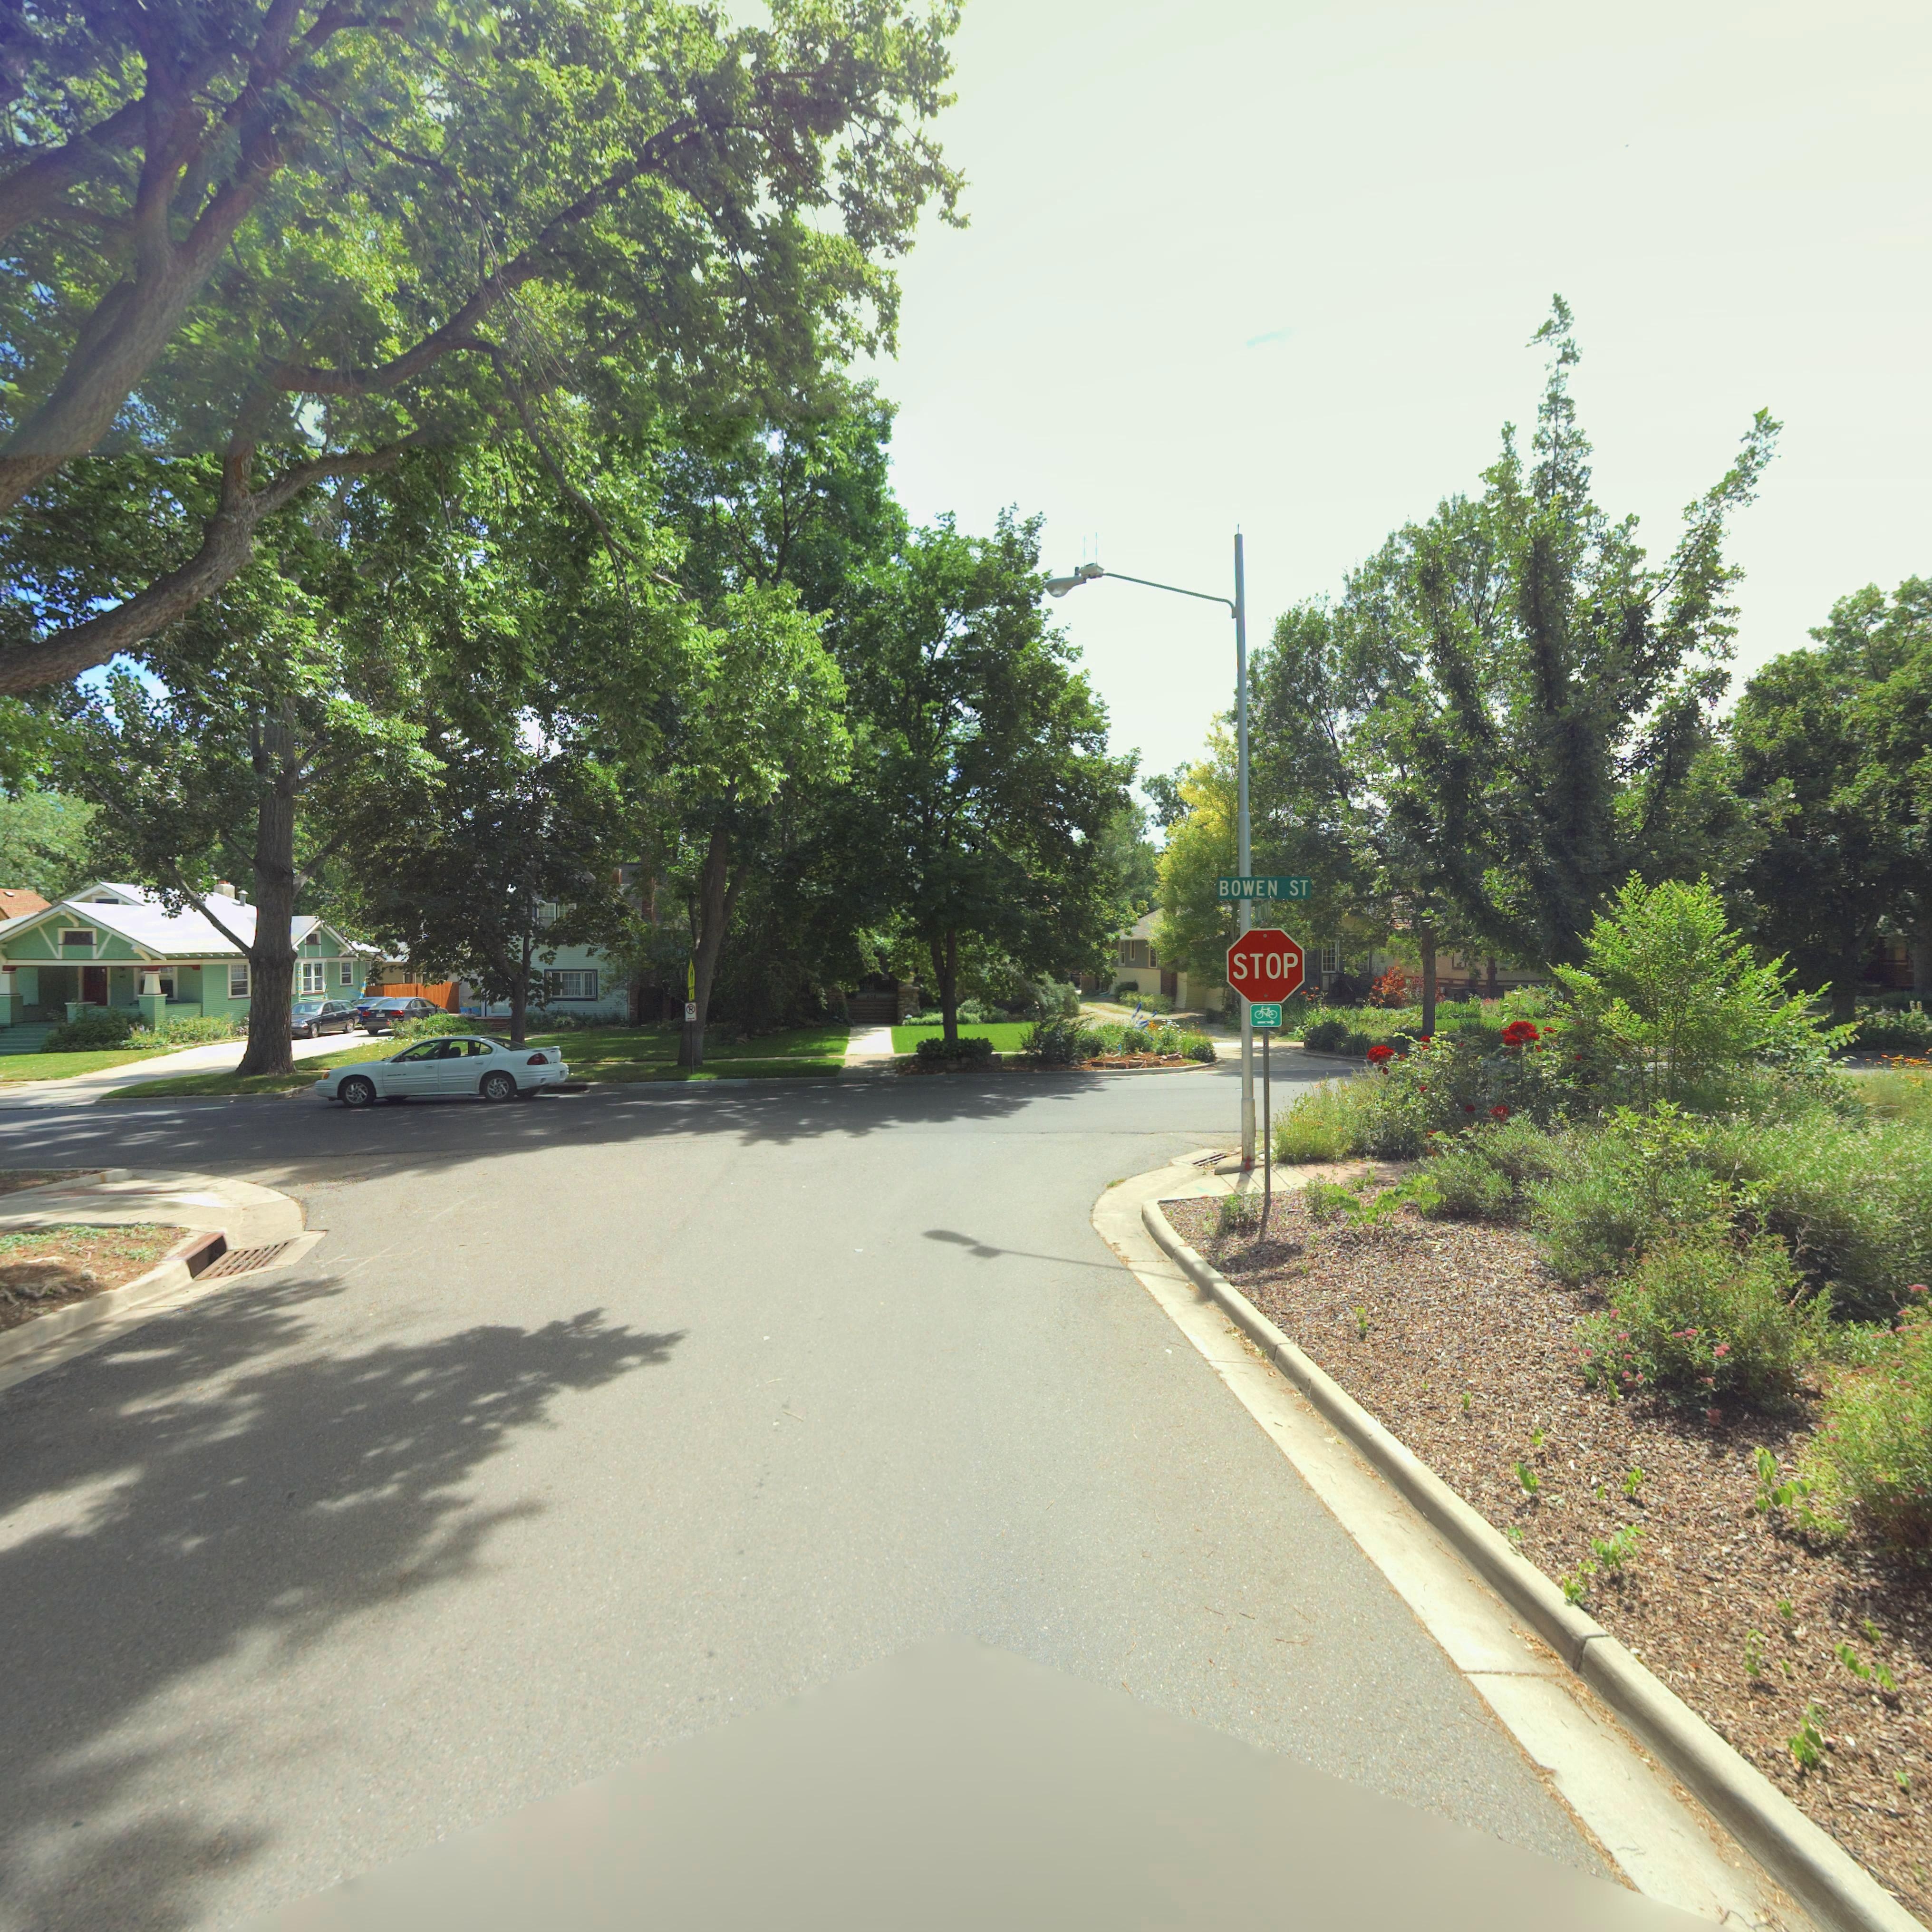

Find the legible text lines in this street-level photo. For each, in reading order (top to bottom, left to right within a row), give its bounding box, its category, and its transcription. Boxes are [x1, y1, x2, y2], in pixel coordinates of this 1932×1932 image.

[1219, 880, 1308, 896] StreetName: BOWEN ST